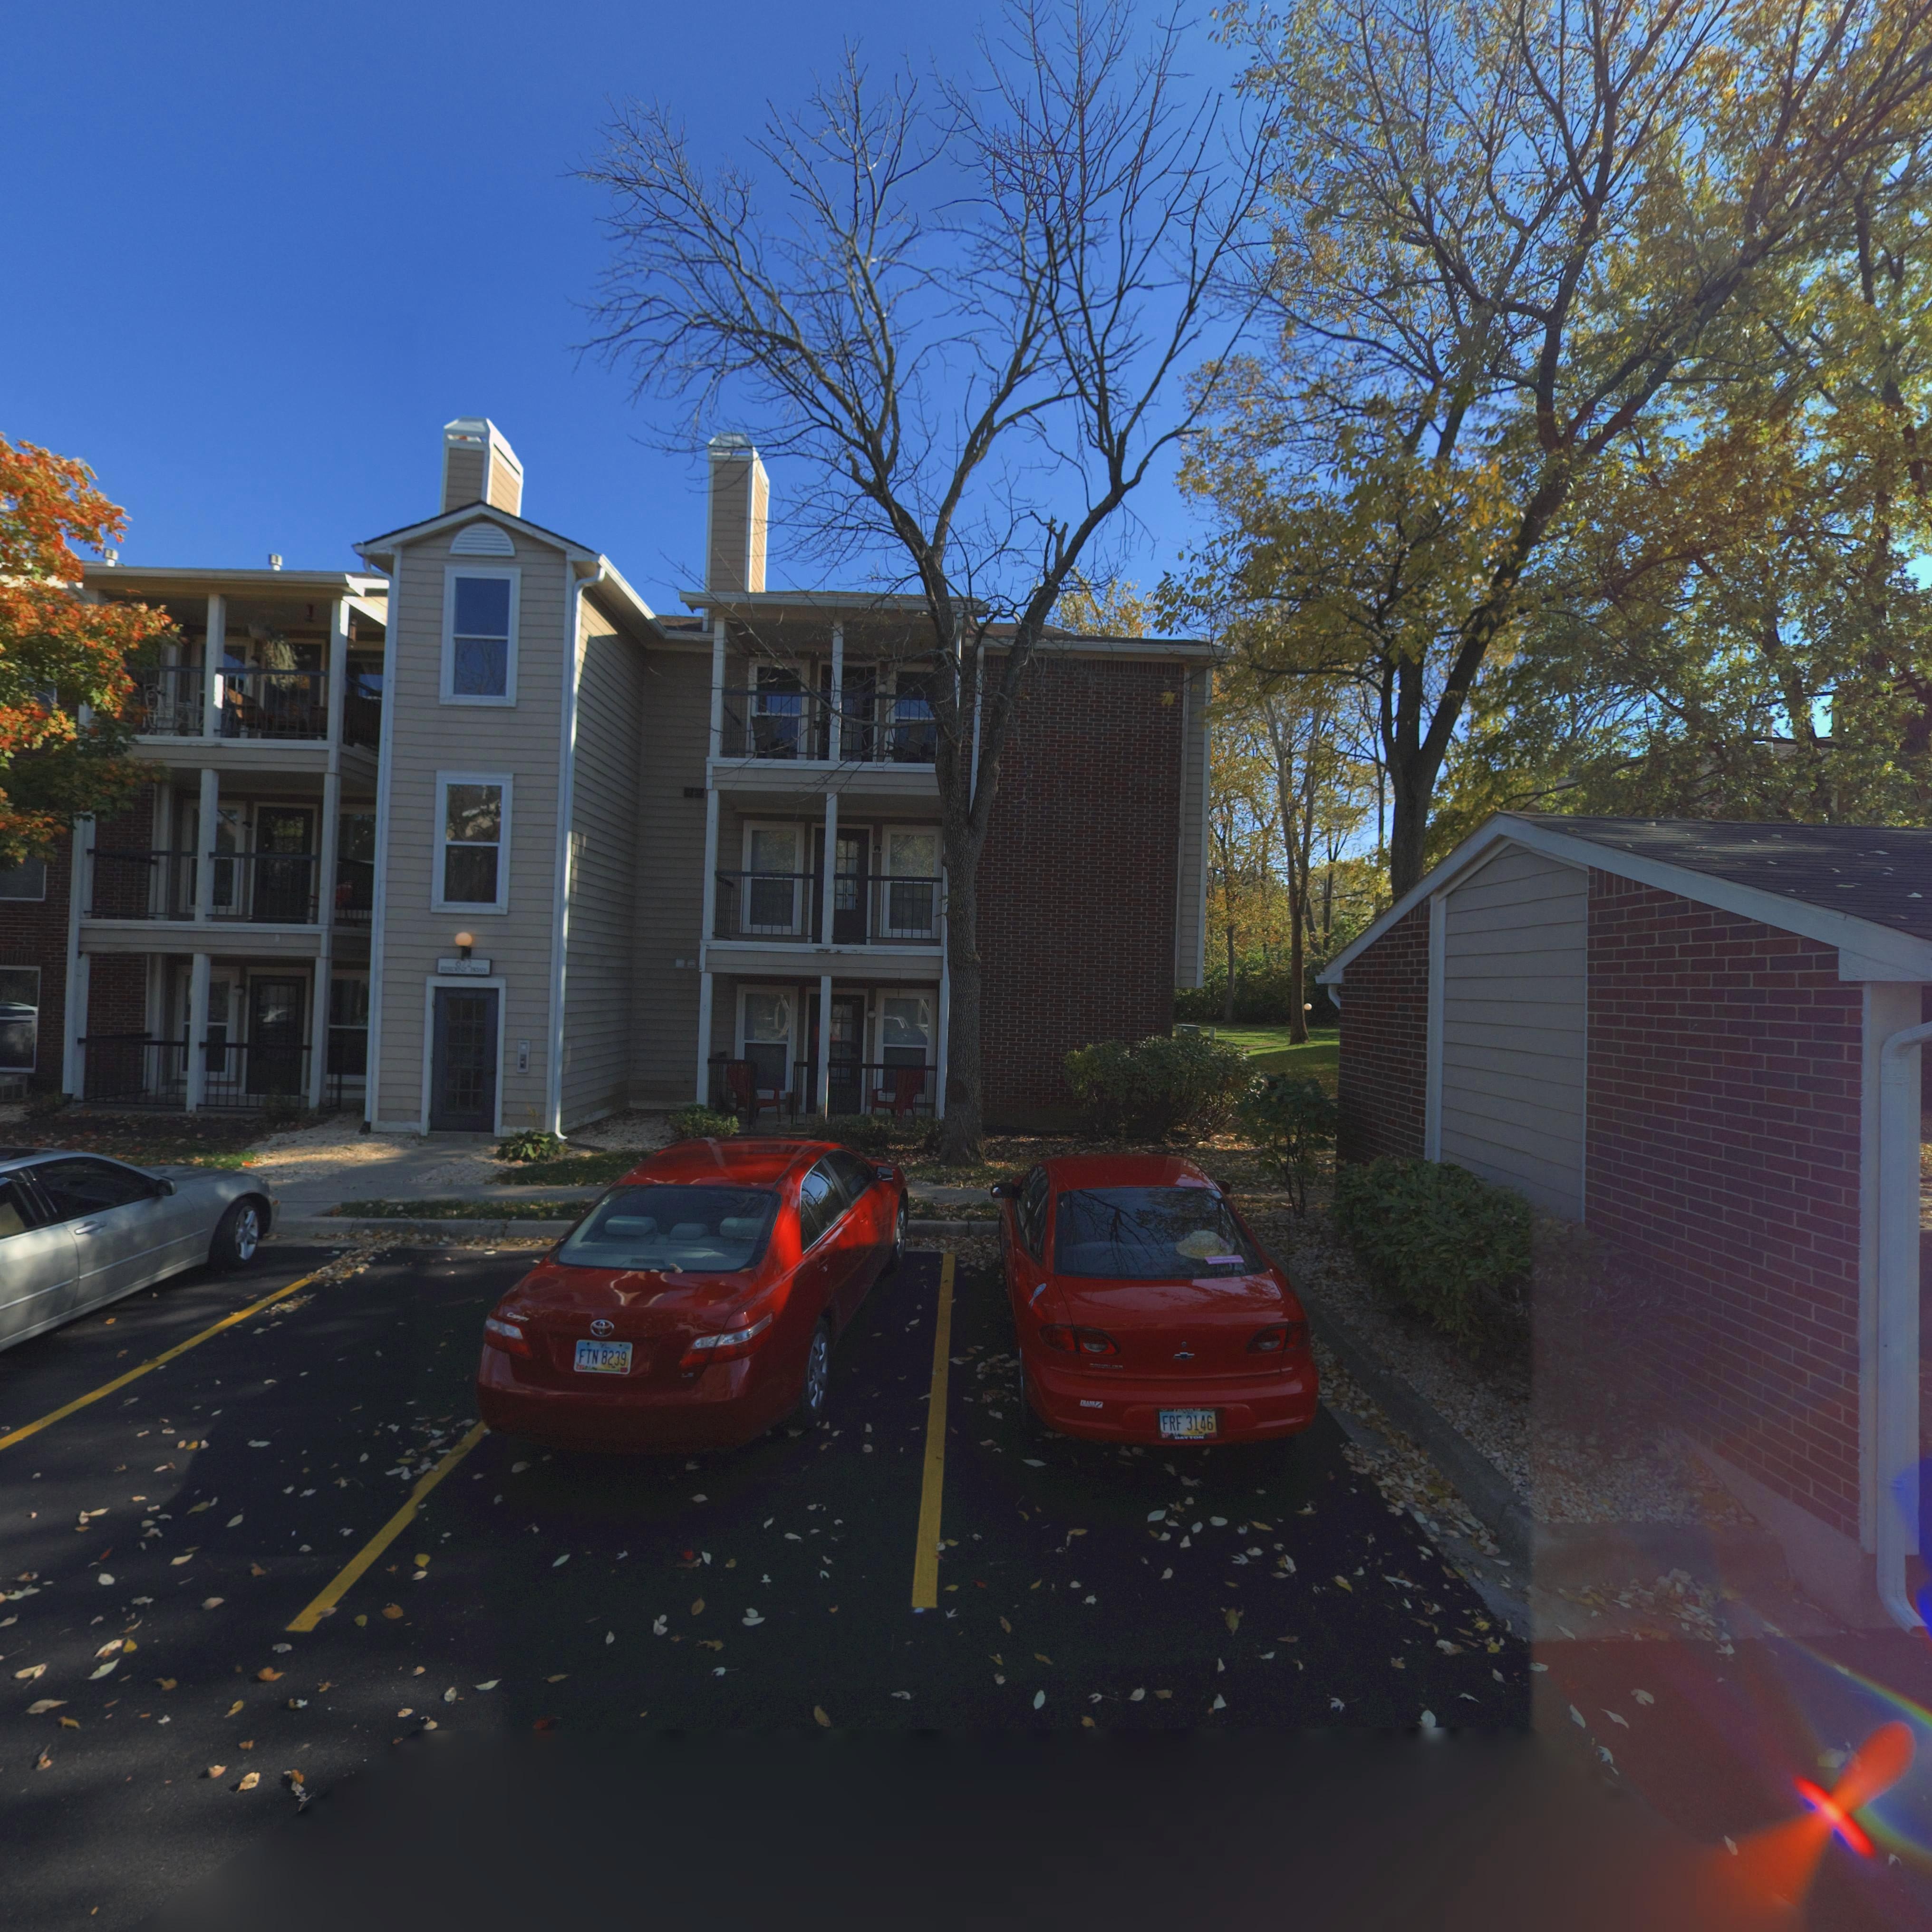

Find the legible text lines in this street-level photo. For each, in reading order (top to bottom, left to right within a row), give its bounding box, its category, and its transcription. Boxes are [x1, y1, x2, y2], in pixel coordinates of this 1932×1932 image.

[454, 959, 473, 968] StreetNumber: 672
[578, 1348, 628, 1367] None: FTN 8239
[1161, 1414, 1215, 1432] None: FRF 3146